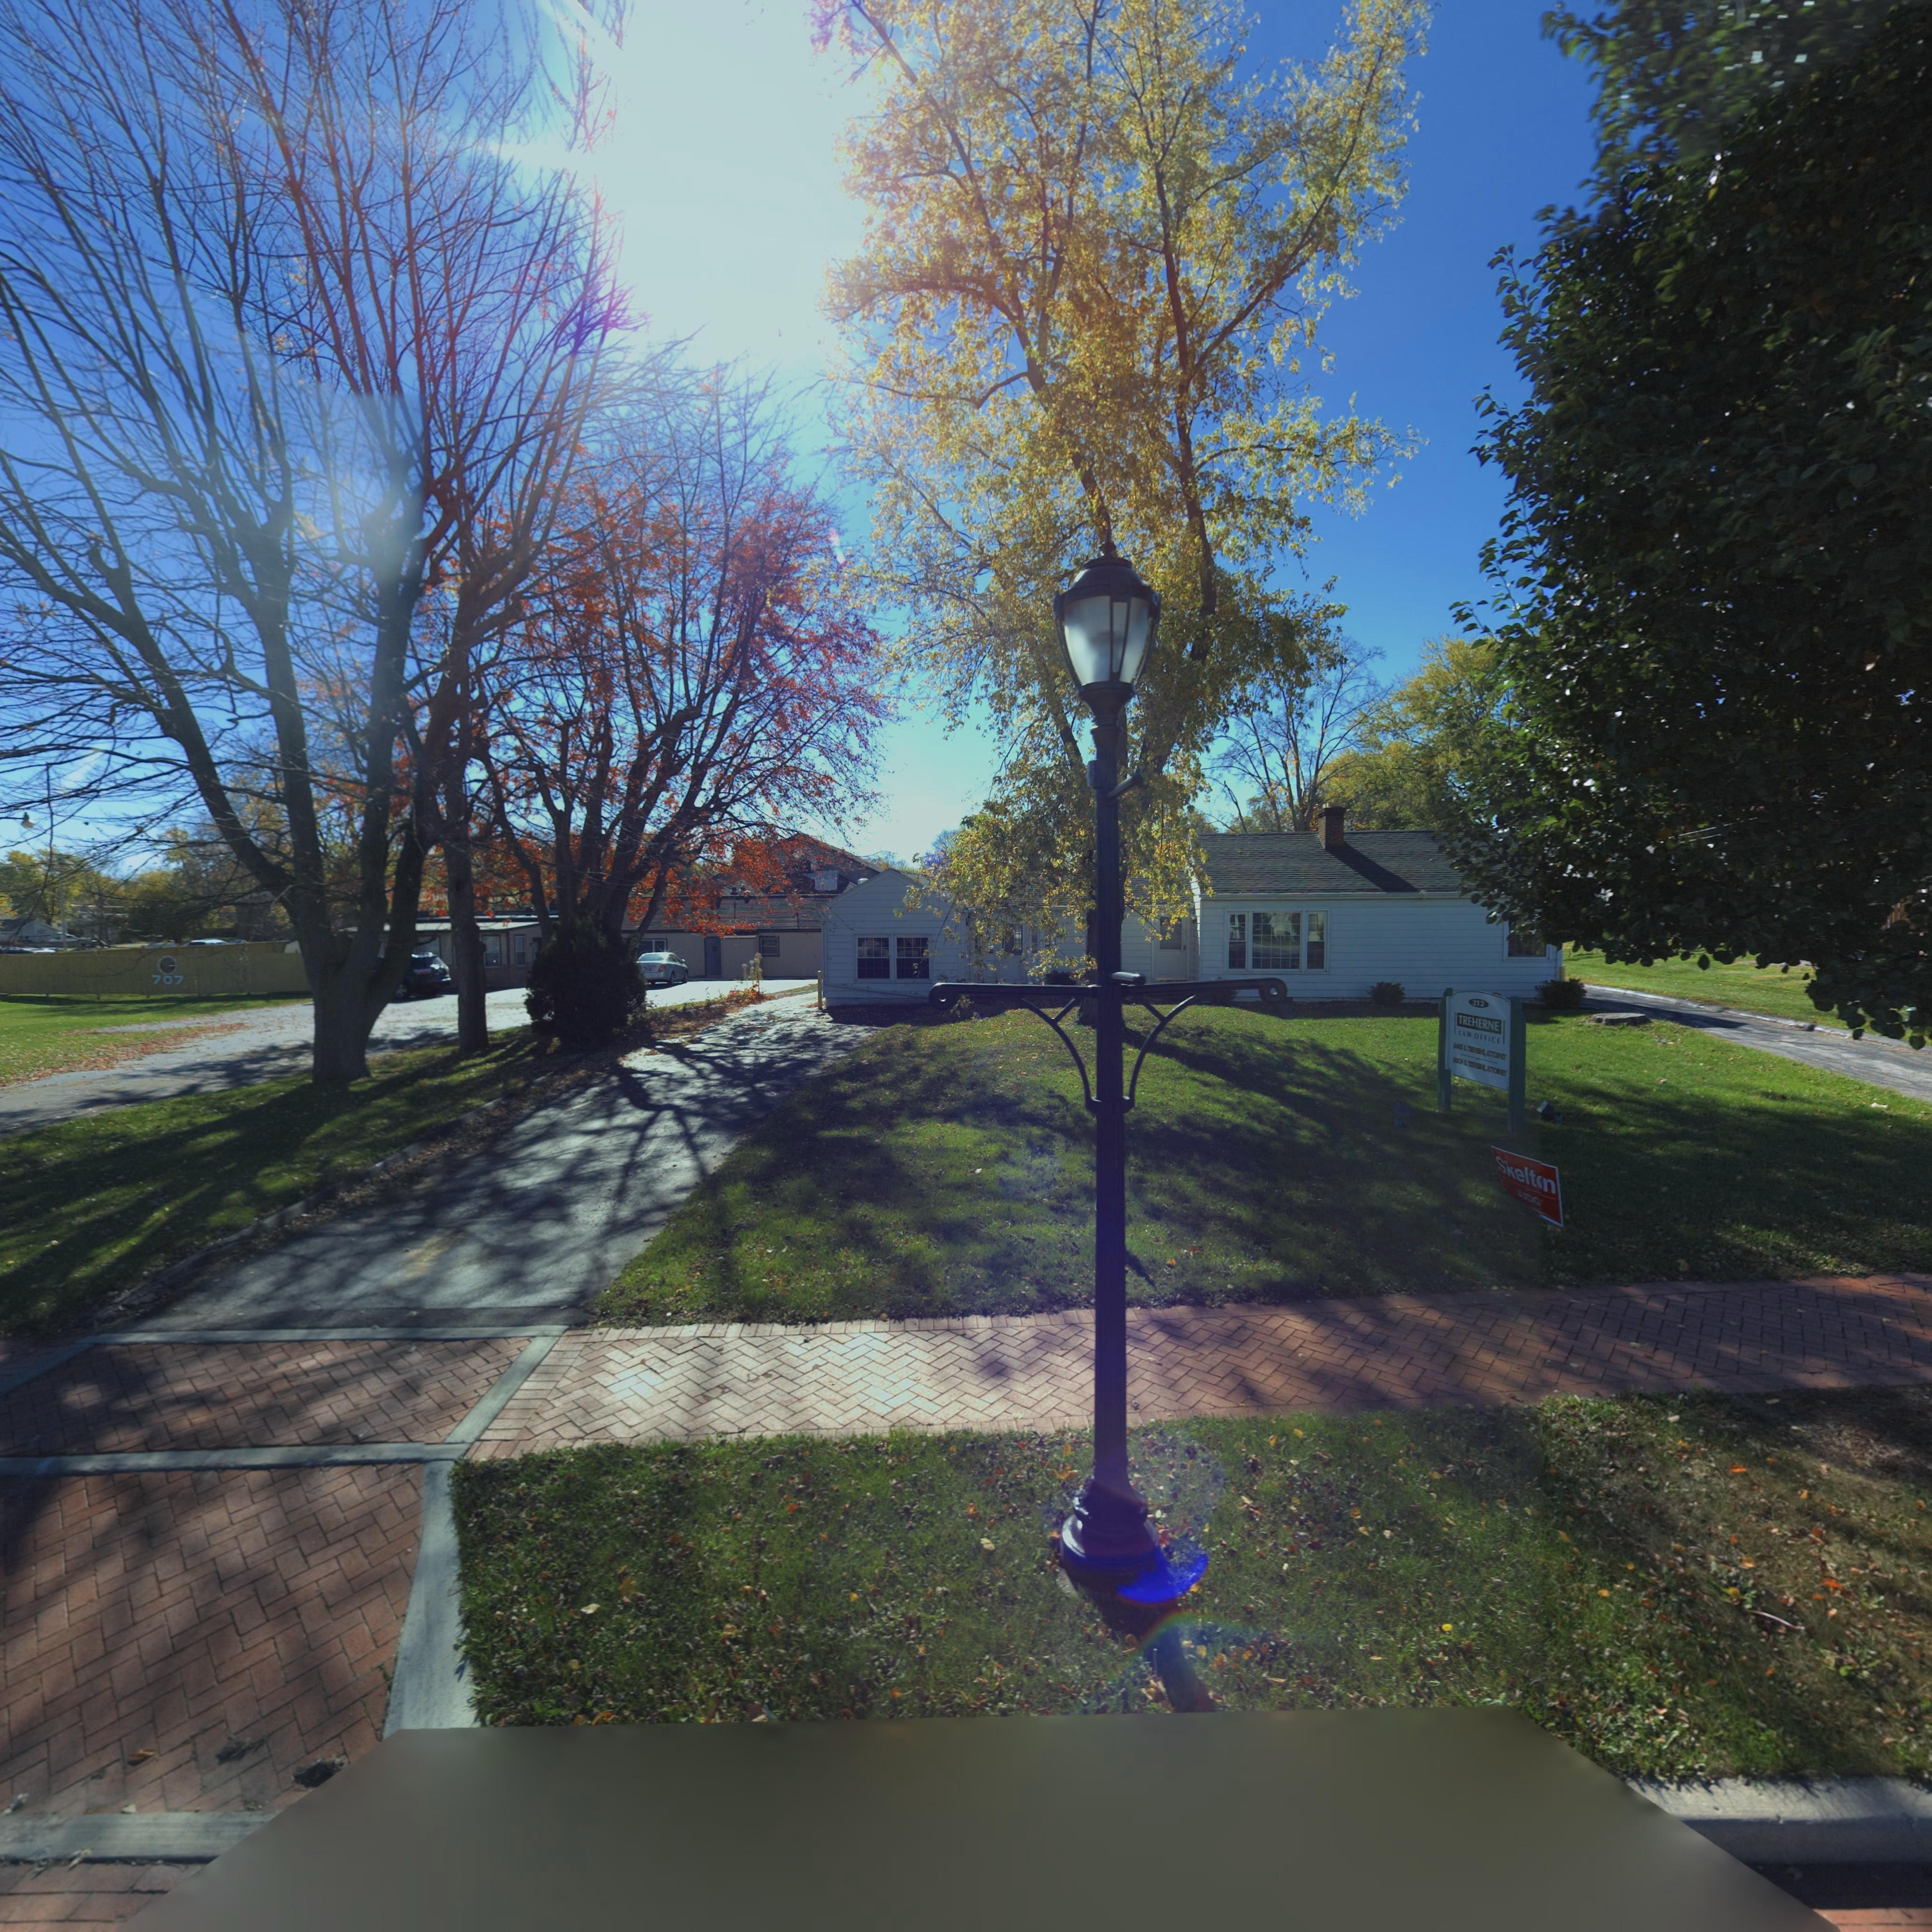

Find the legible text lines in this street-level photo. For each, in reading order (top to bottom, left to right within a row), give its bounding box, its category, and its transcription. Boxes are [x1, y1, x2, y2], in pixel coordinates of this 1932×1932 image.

[151, 974, 185, 986] None: 707
[1472, 999, 1485, 1007] StreetNumber: 212
[1458, 1014, 1500, 1033] BusinessName: TREHERNE
[1458, 1028, 1502, 1045] BusinessName: LAW OFFICE
[1494, 1154, 1557, 1196] None: Skelt*n
[1517, 1188, 1542, 1207] None: JUDGE